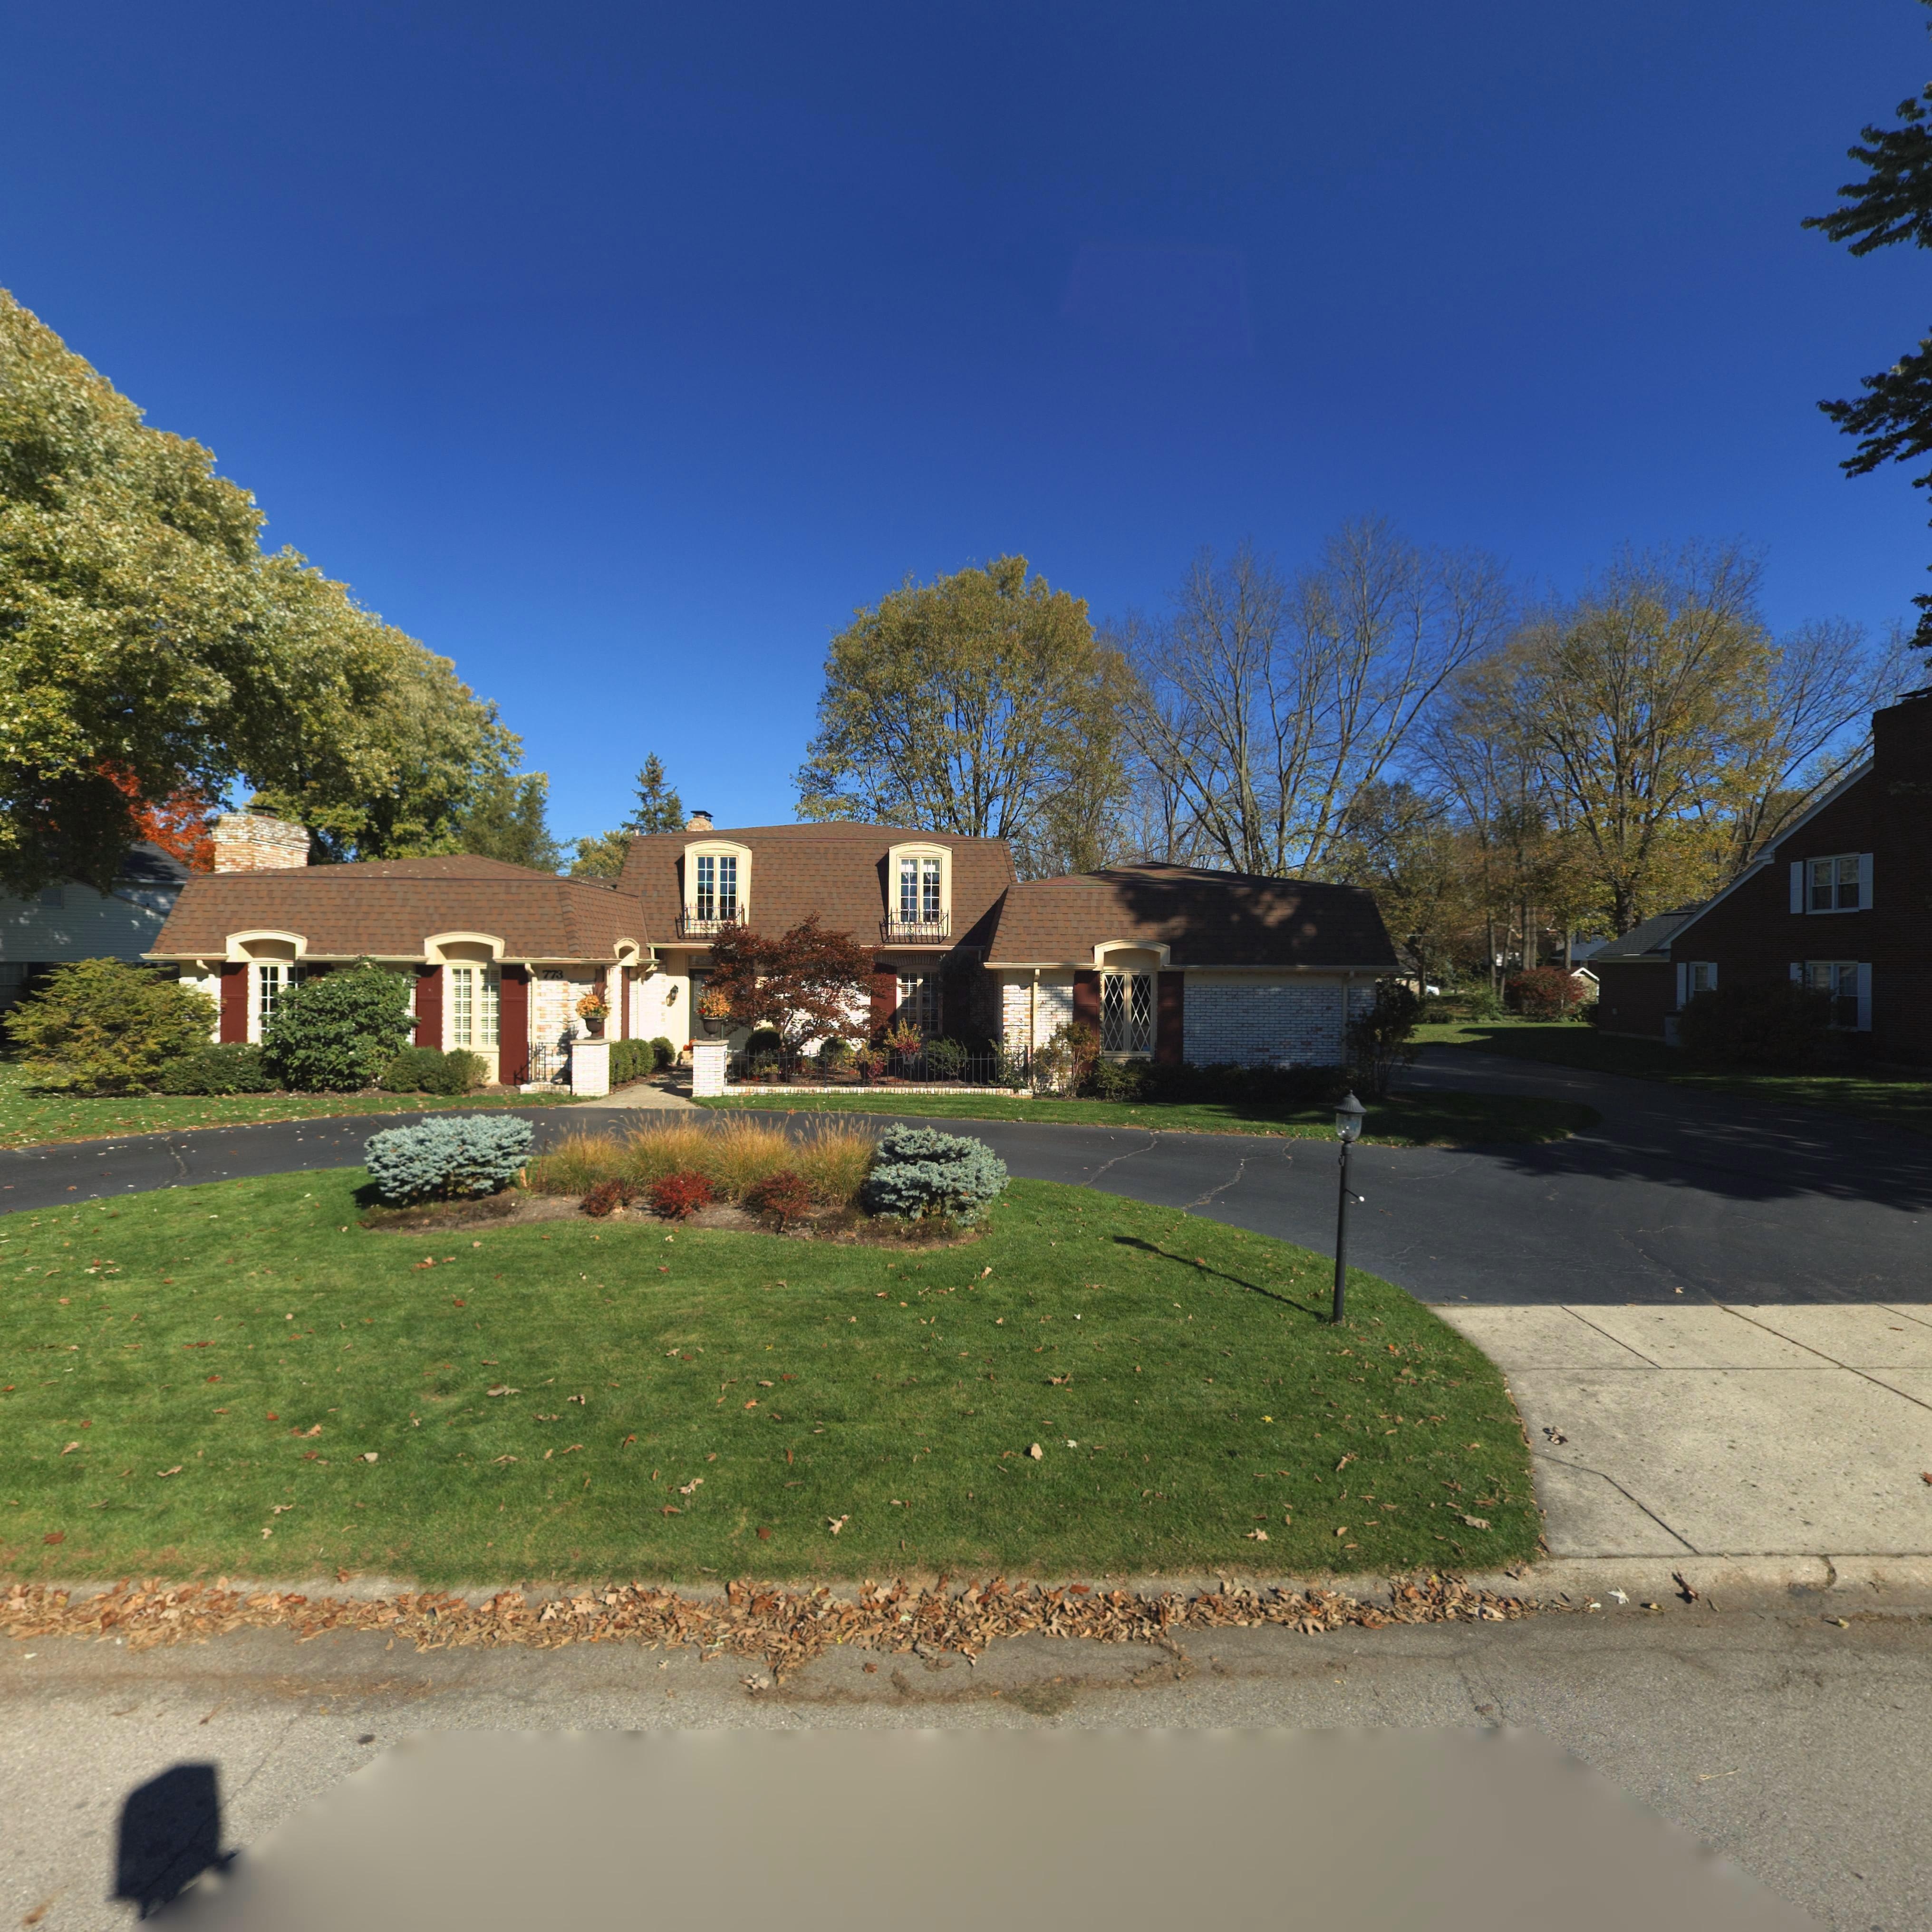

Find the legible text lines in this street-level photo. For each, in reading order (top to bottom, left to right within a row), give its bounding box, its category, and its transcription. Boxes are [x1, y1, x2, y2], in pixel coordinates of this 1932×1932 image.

[541, 969, 563, 979] StreetNumber: 773